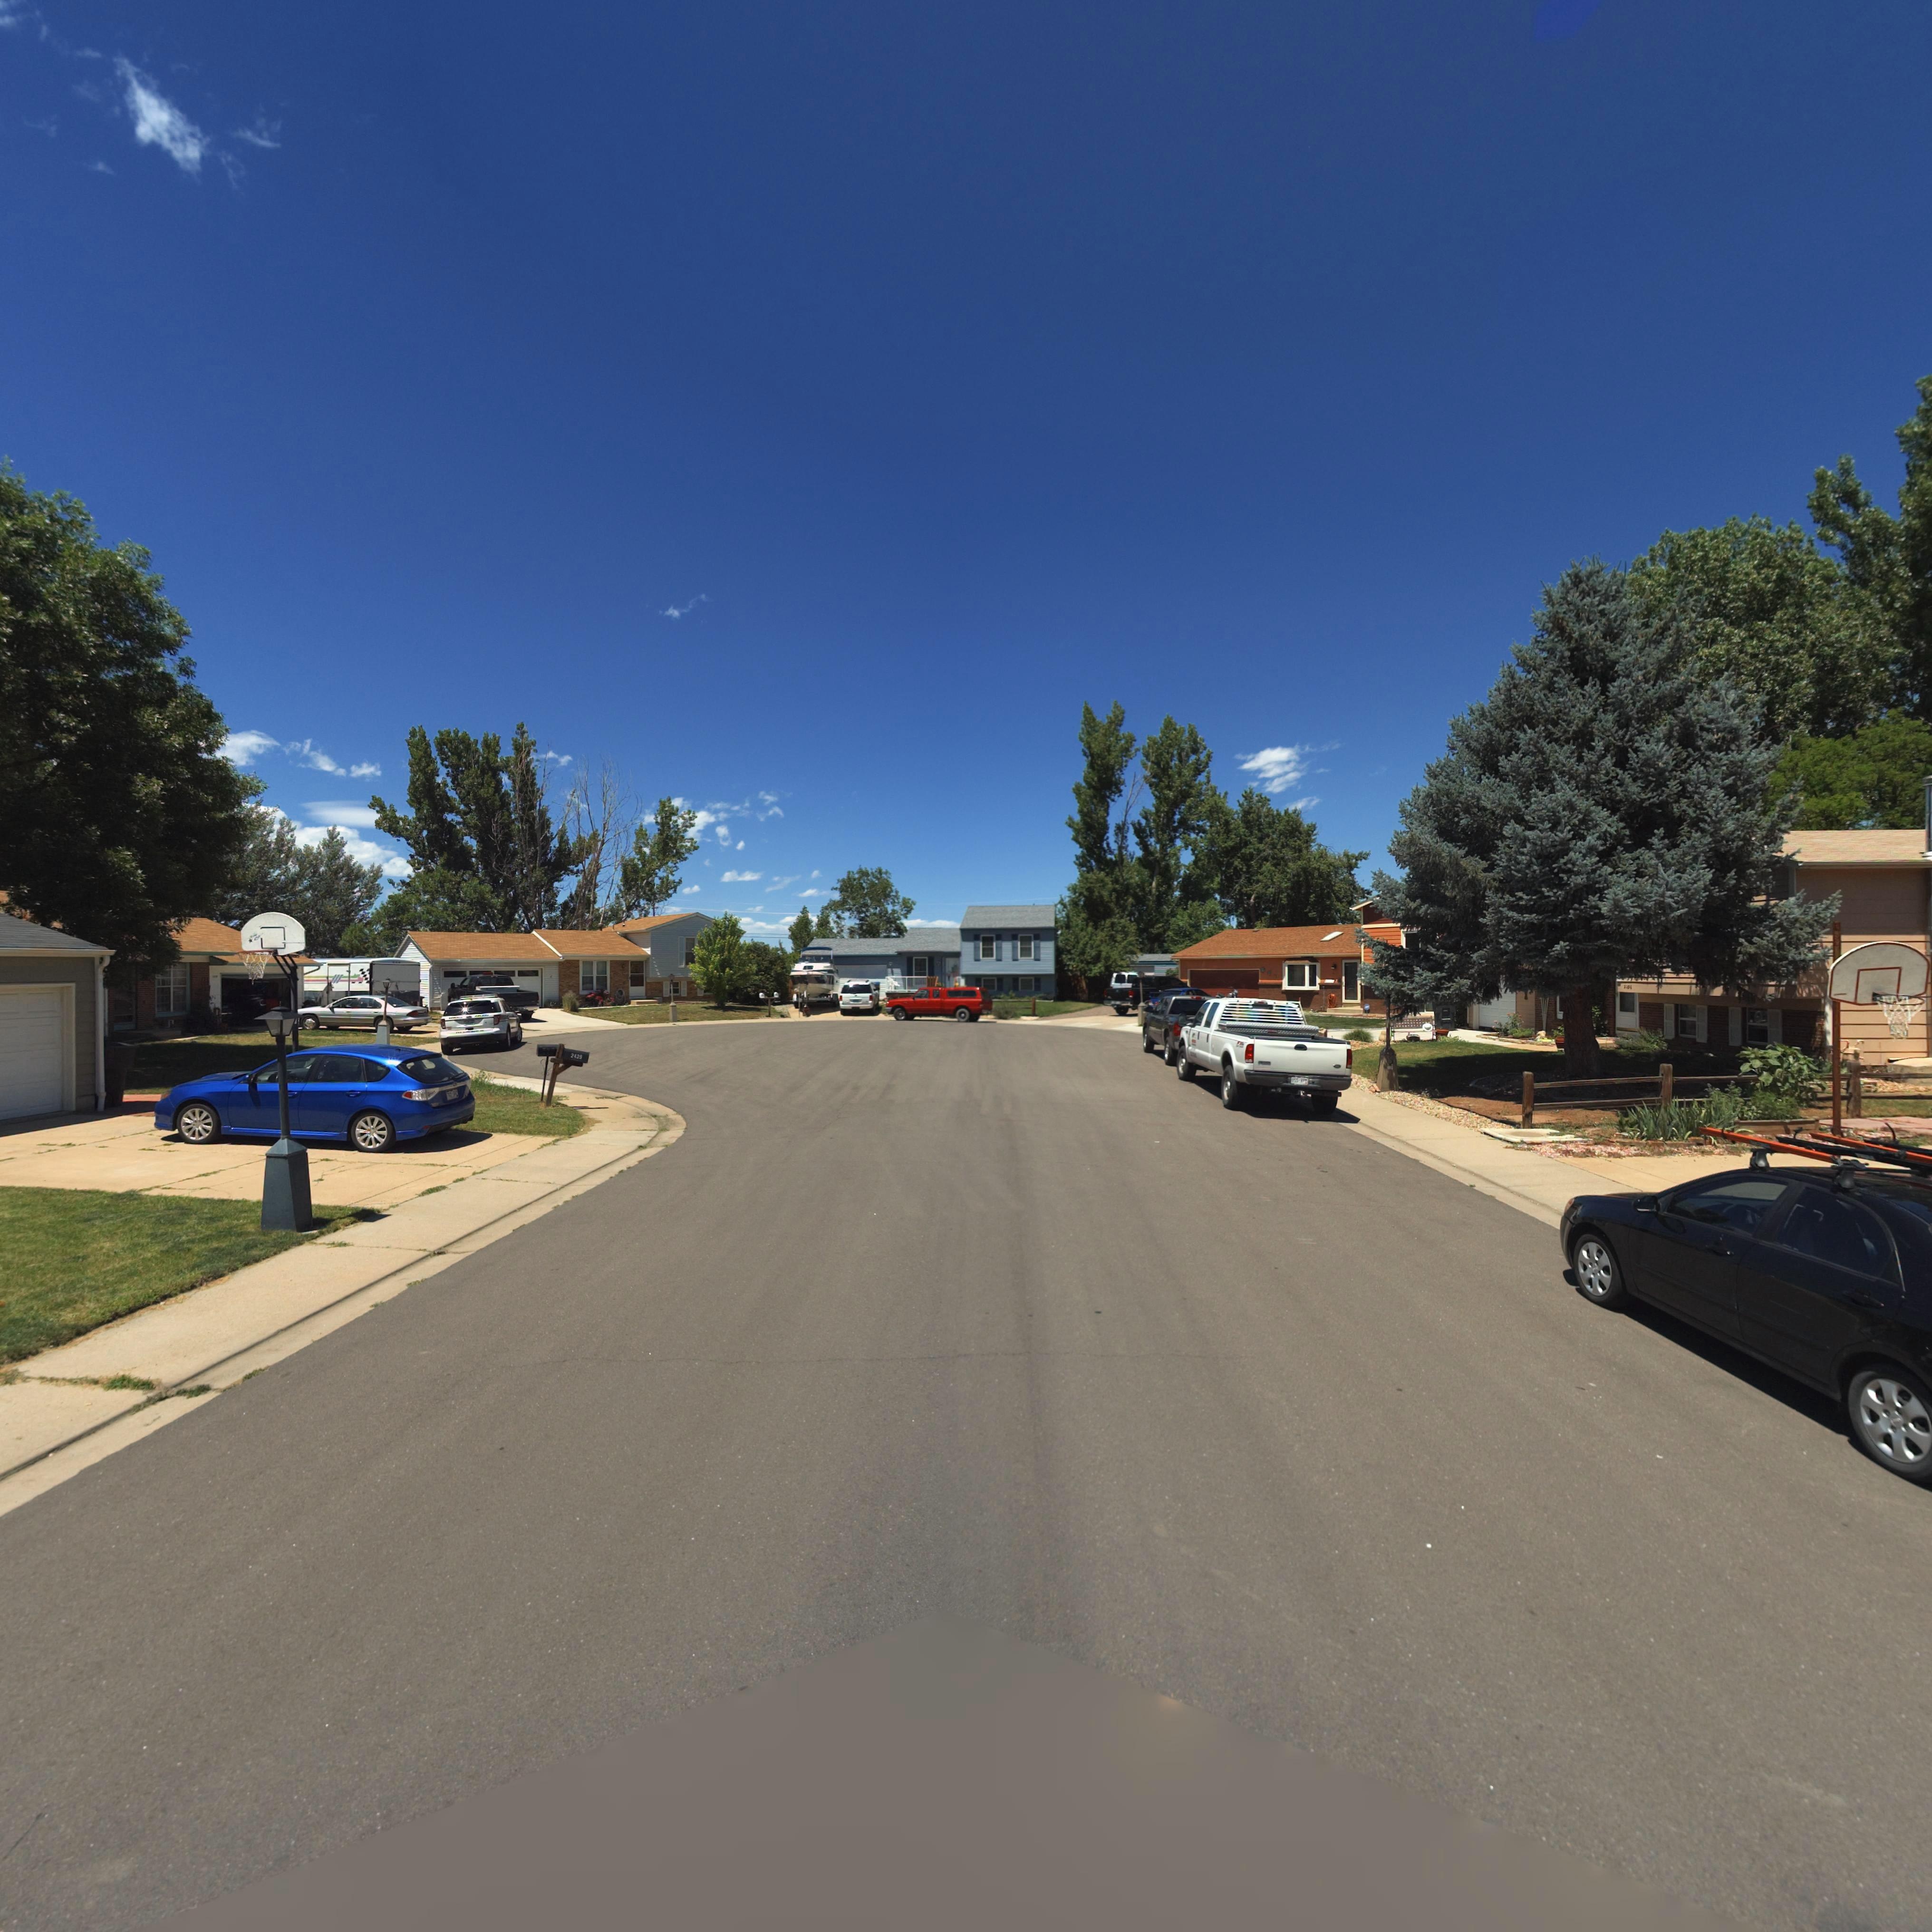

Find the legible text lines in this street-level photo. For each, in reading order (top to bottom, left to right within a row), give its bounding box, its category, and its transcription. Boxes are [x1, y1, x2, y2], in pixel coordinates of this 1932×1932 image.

[212, 975, 218, 978] StreetNumber: ***9
[1623, 984, 1632, 989] StreetNumber: 1**4
[570, 1053, 582, 1059] StreetNumber: 2429